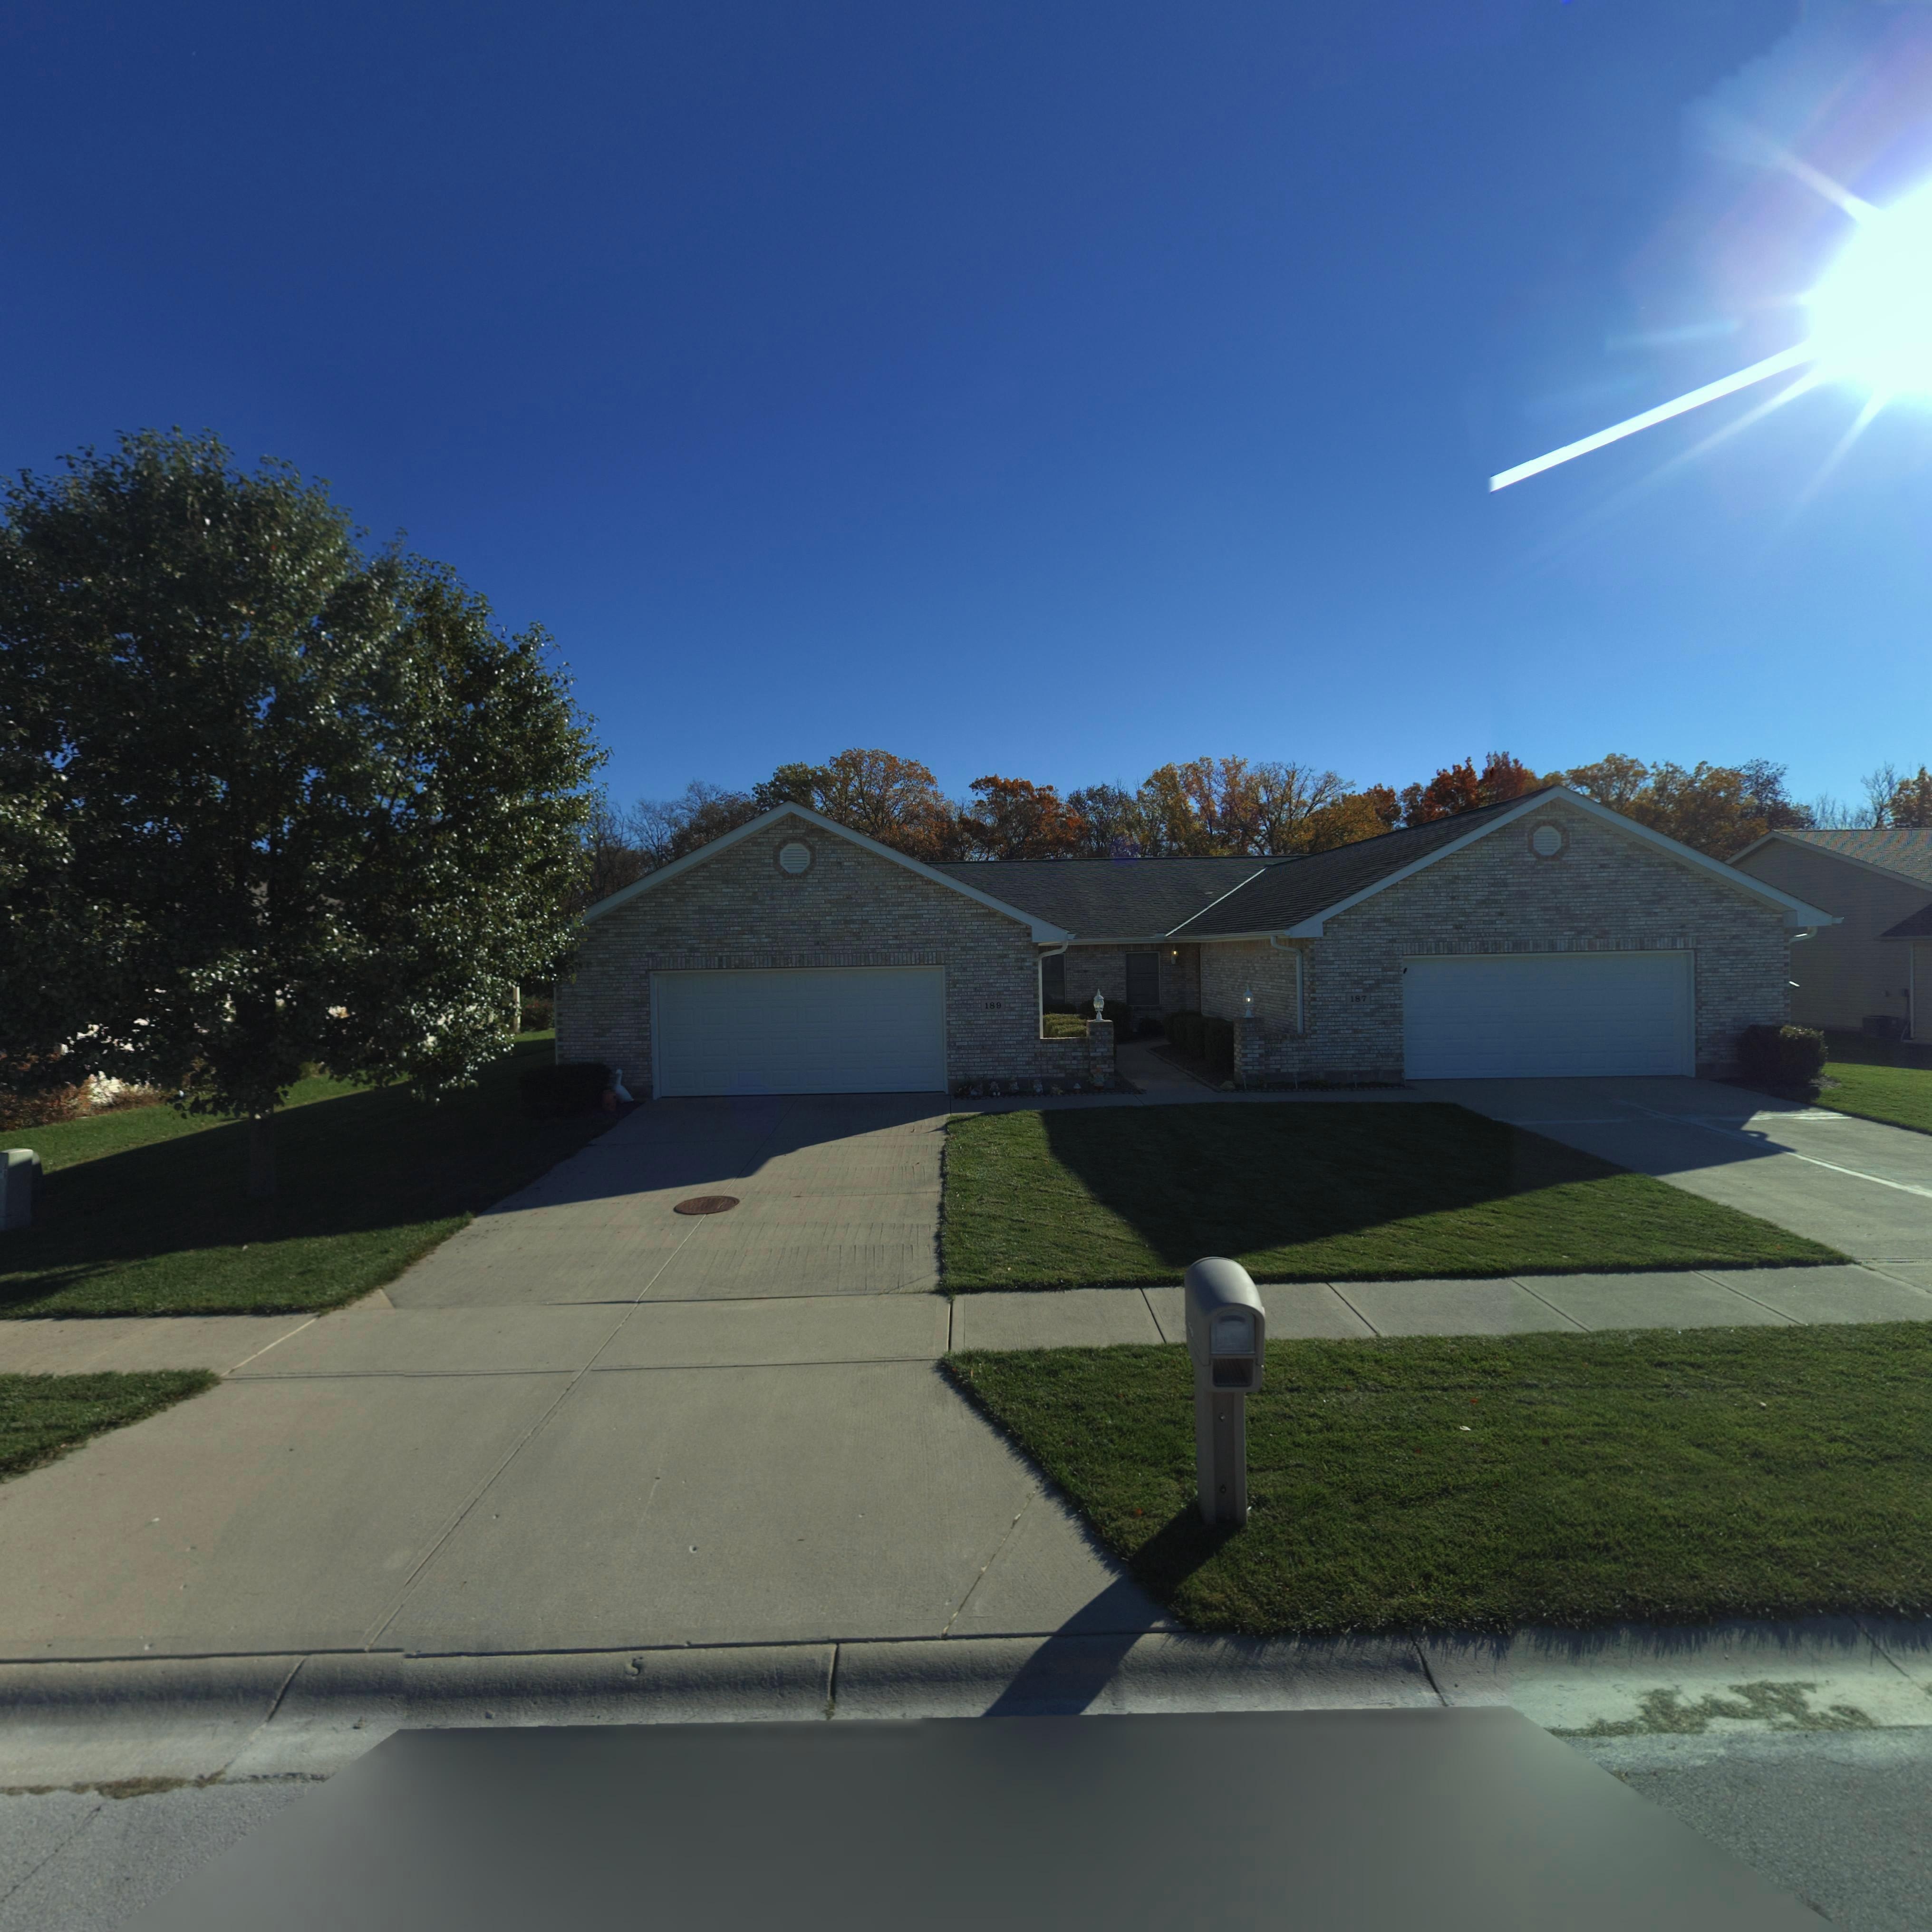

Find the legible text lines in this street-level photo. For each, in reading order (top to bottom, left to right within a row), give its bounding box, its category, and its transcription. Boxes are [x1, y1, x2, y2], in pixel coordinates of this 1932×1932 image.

[1350, 995, 1367, 1003] StreetNumber: 187
[984, 1001, 1002, 1010] StreetNumber: 189